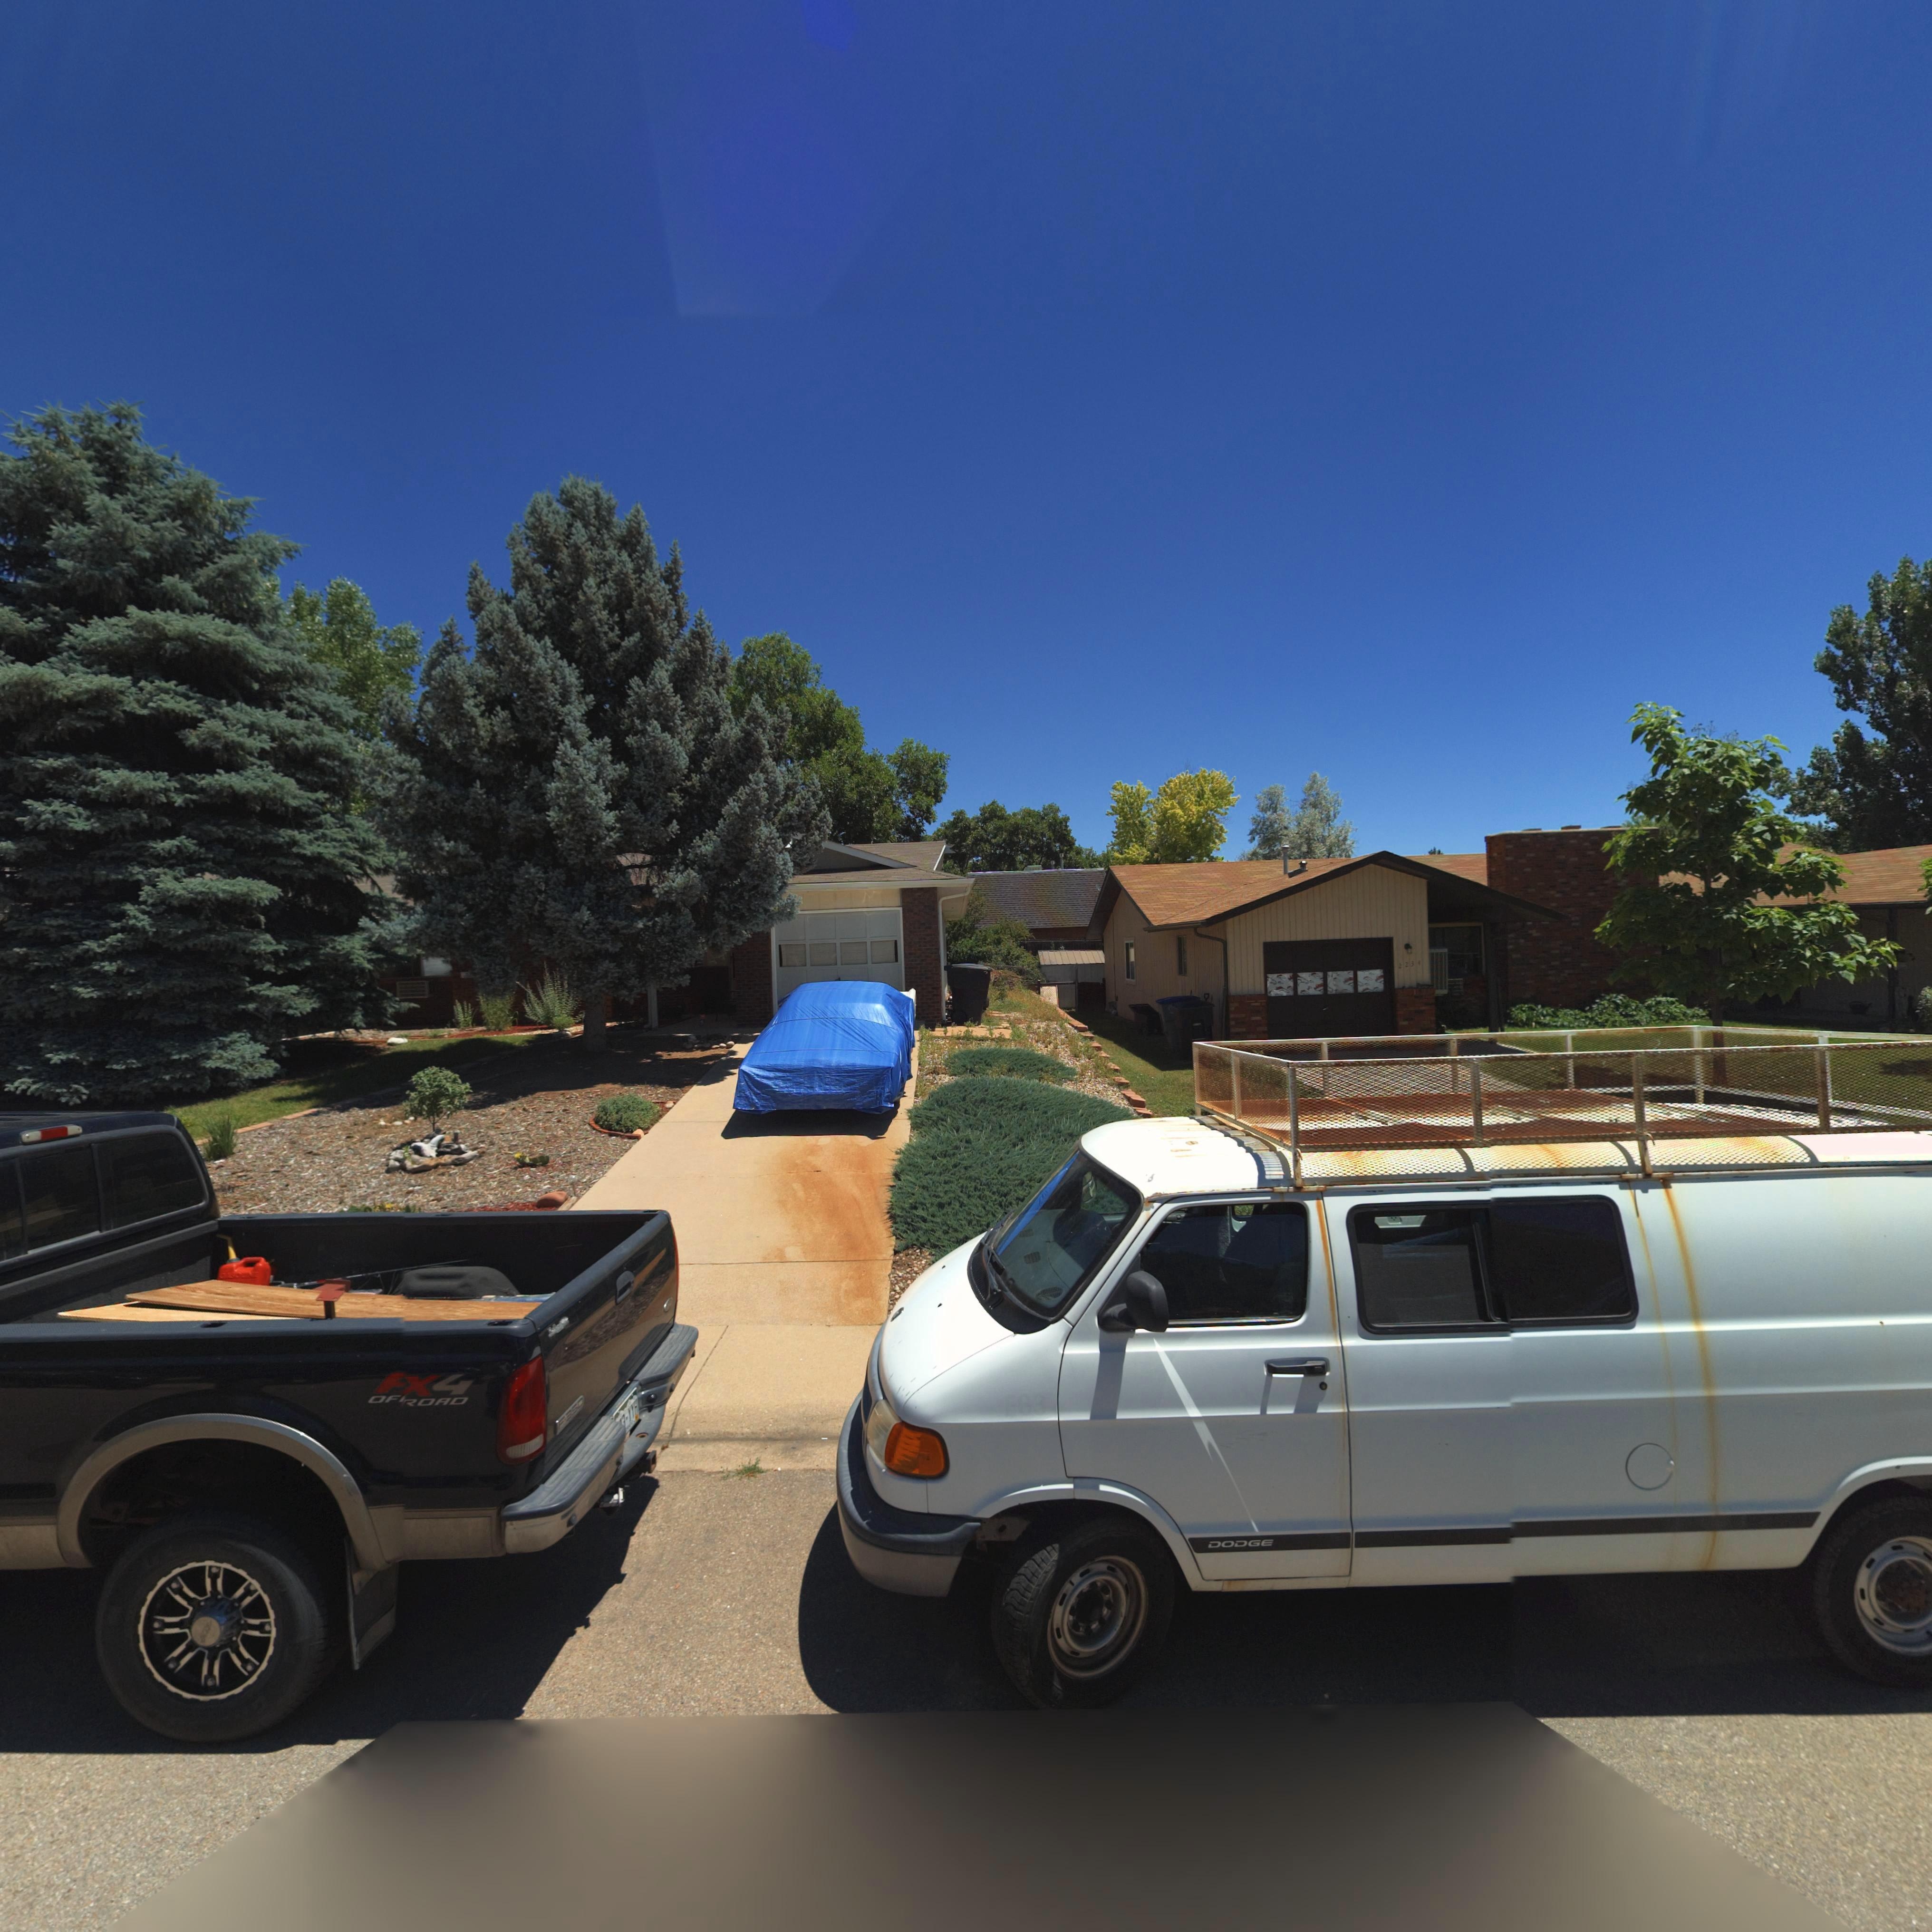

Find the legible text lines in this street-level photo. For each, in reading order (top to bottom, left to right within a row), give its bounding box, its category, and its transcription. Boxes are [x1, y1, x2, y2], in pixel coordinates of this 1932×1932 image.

[1398, 959, 1421, 970] StreetNumber: 2234